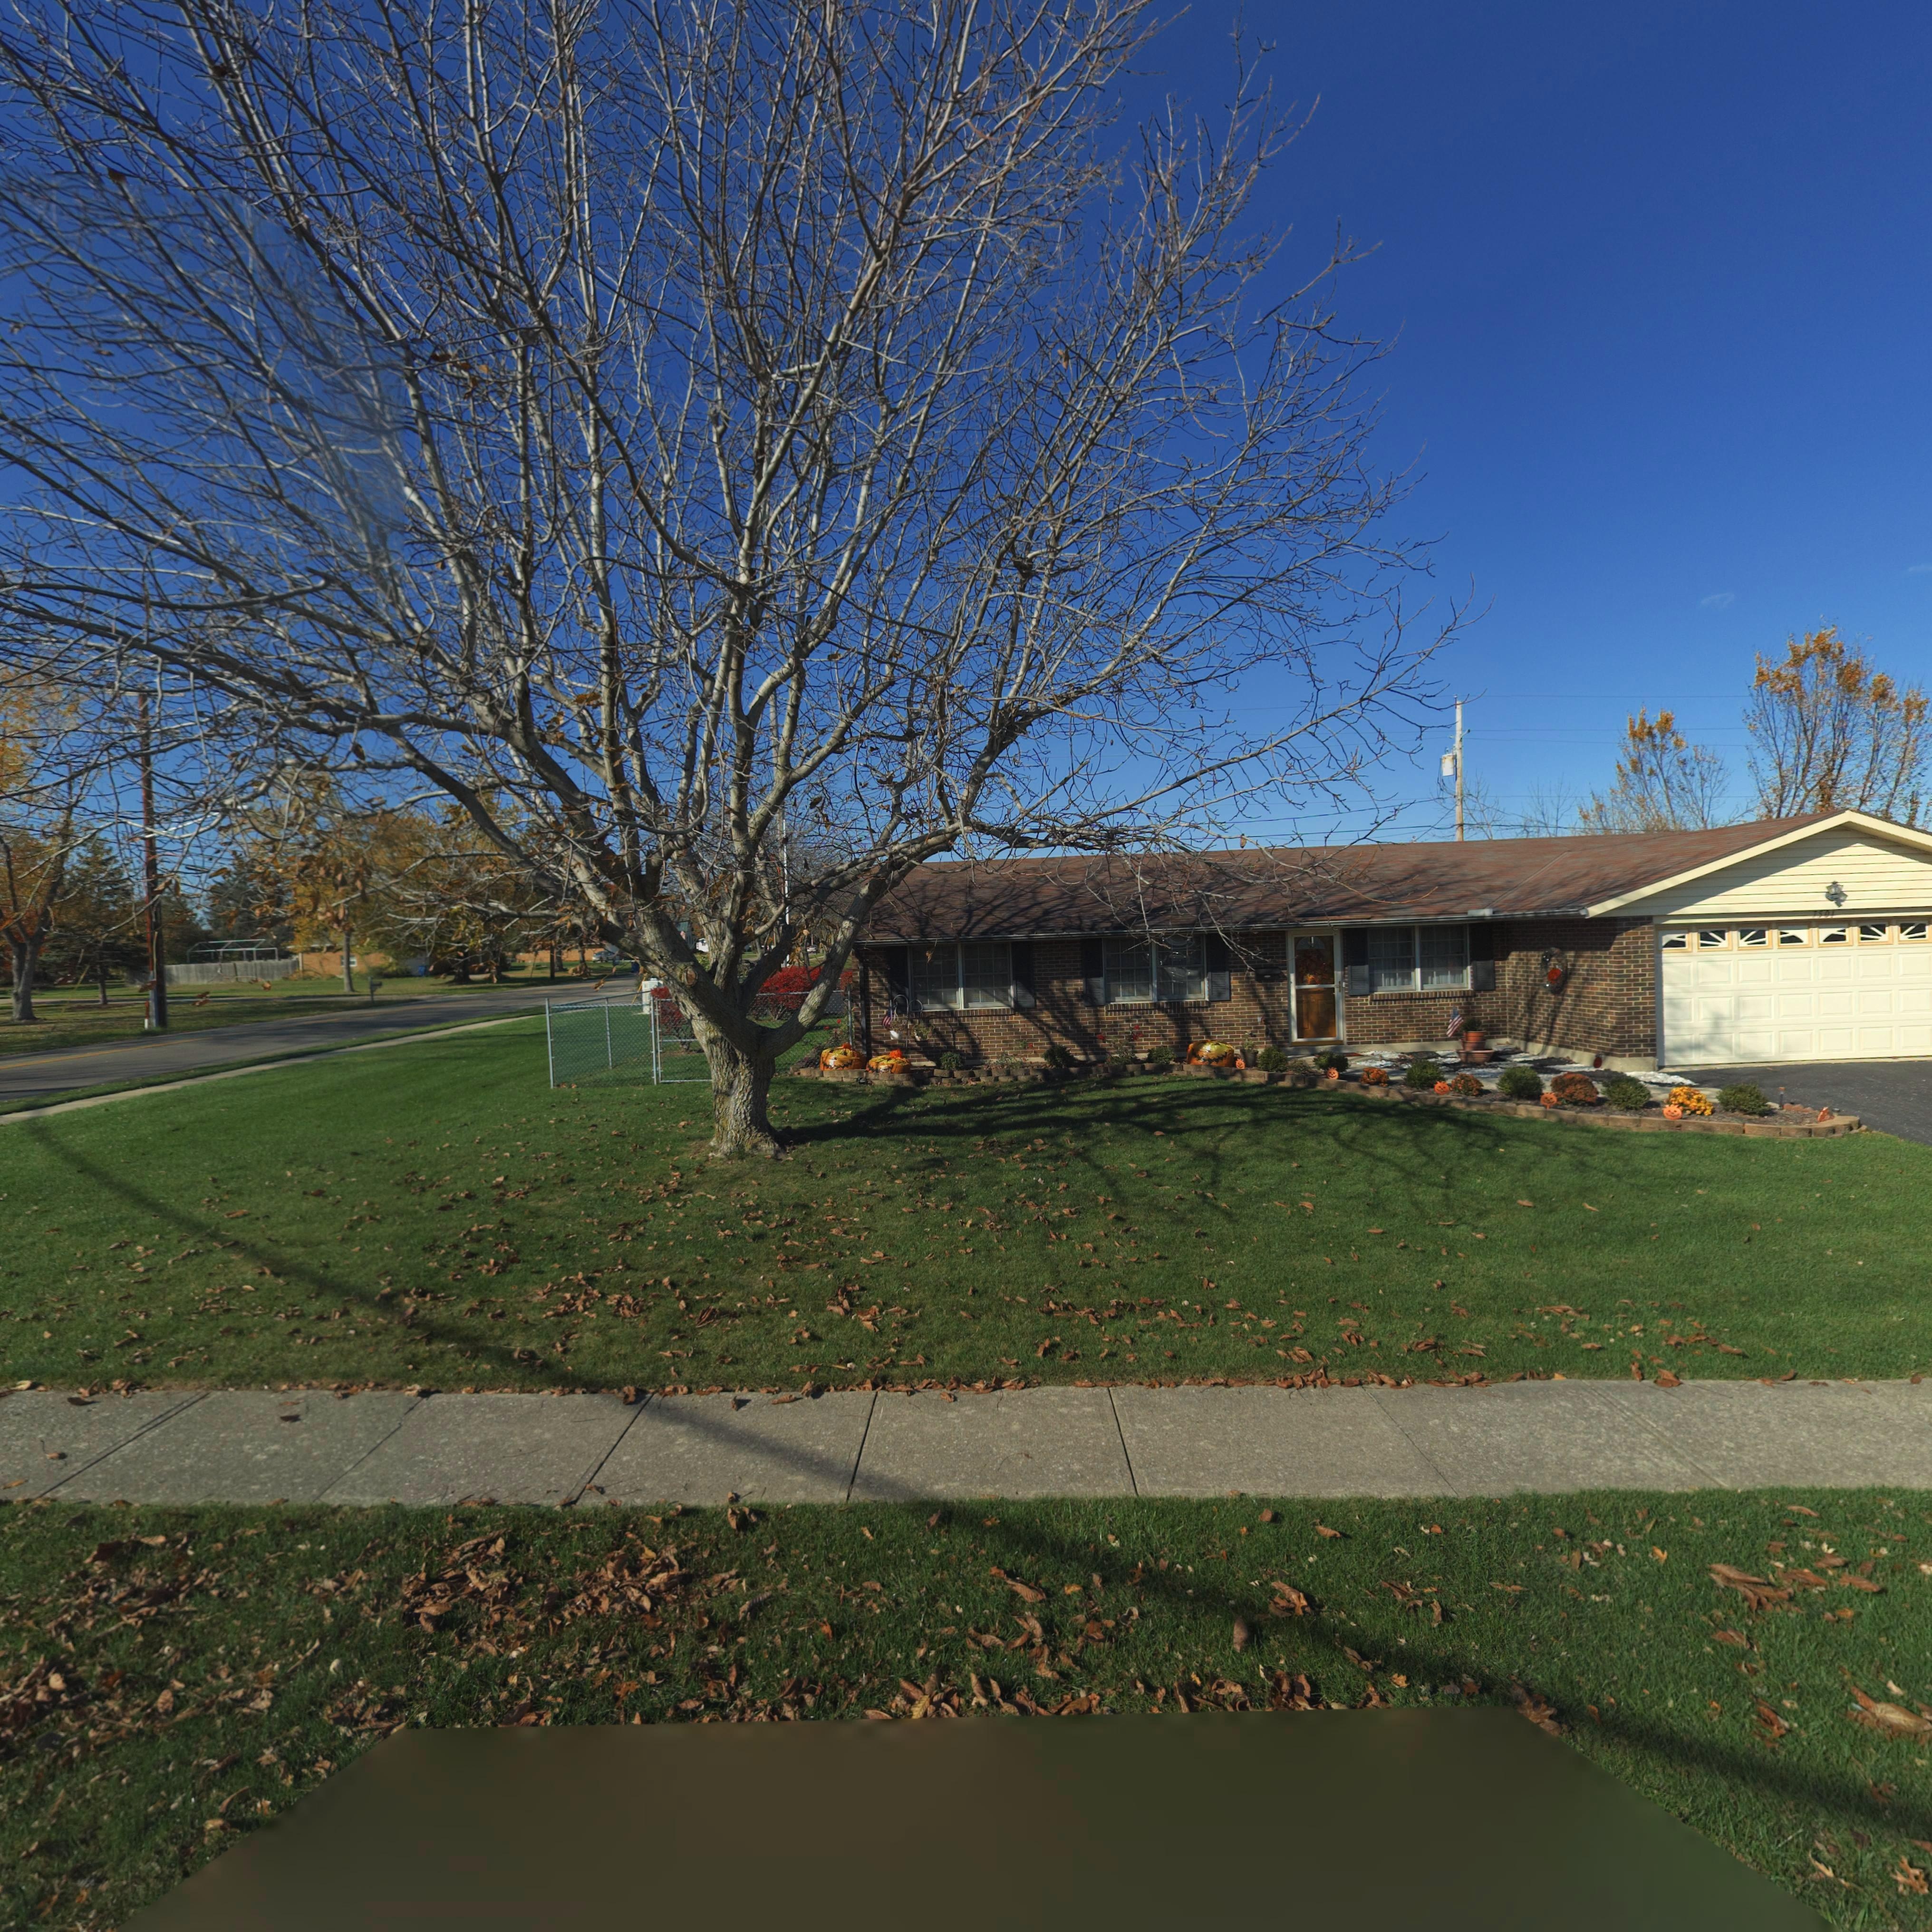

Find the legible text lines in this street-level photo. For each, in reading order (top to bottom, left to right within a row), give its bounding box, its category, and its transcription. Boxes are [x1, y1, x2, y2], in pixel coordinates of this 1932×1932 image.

[1812, 909, 1836, 919] StreetNumber: 7501